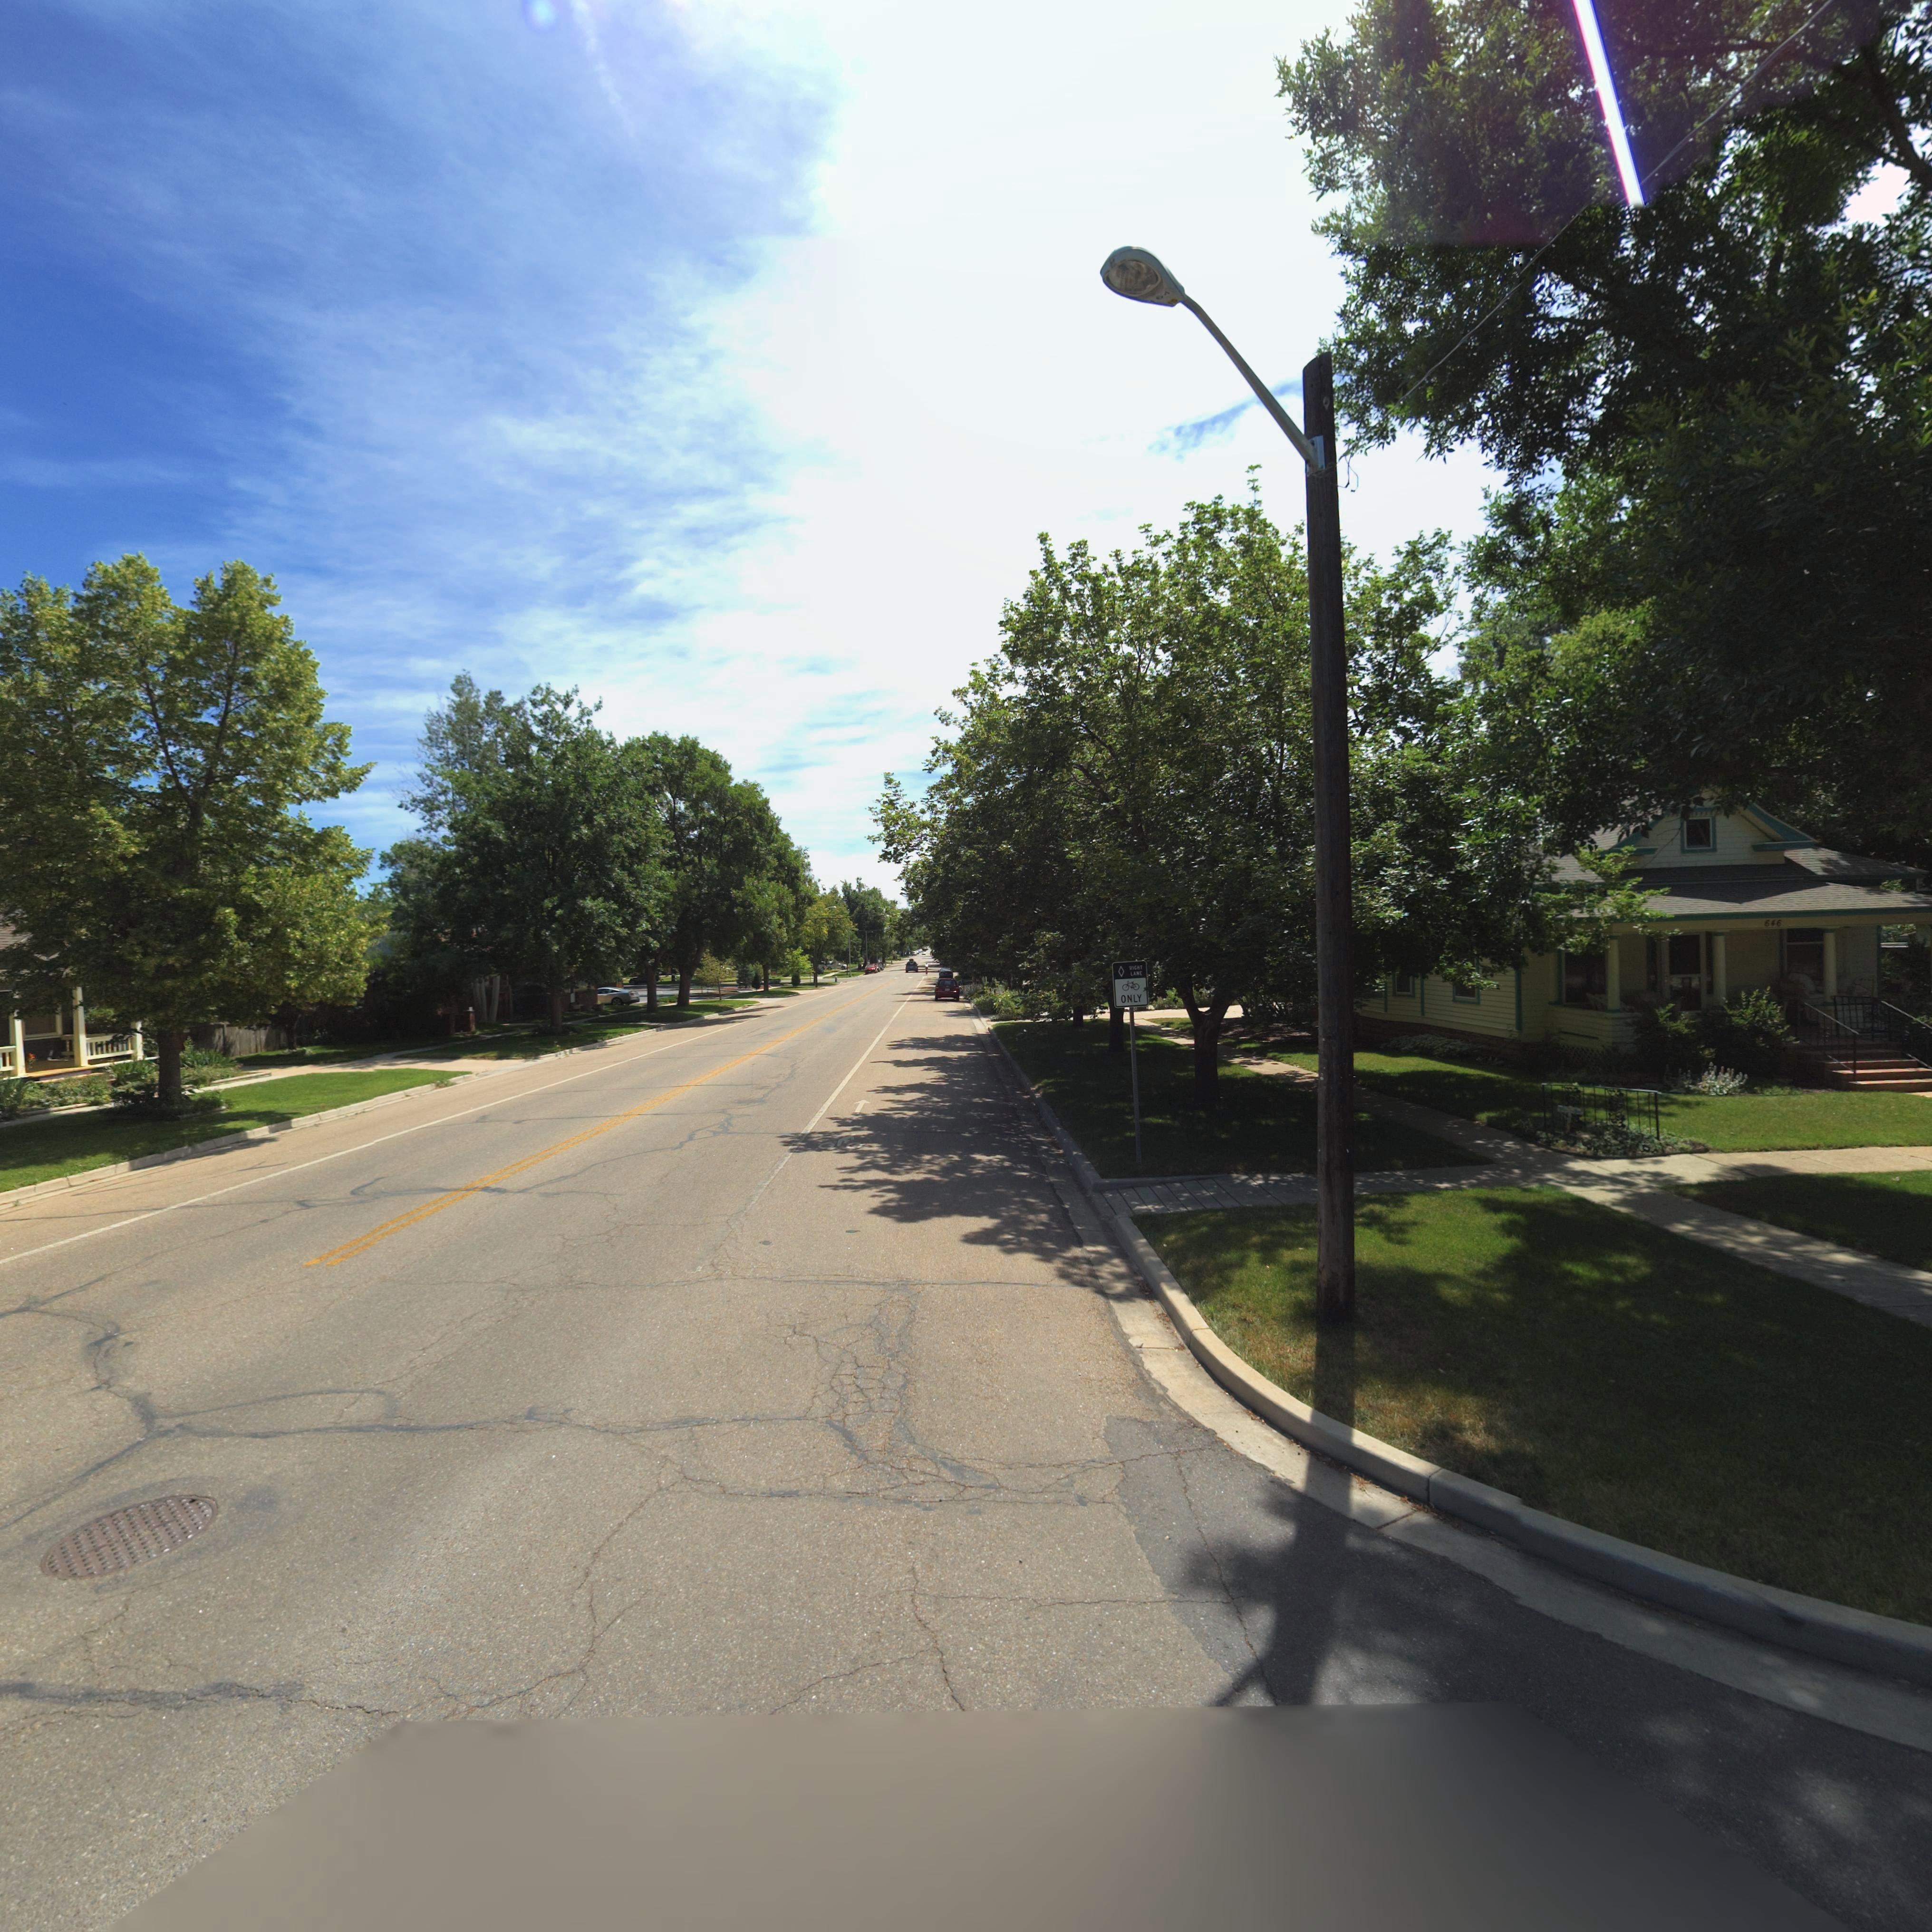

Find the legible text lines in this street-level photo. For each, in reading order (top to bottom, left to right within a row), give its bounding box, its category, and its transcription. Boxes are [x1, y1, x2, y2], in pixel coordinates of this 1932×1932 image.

[1764, 918, 1782, 927] StreetNumber: 646